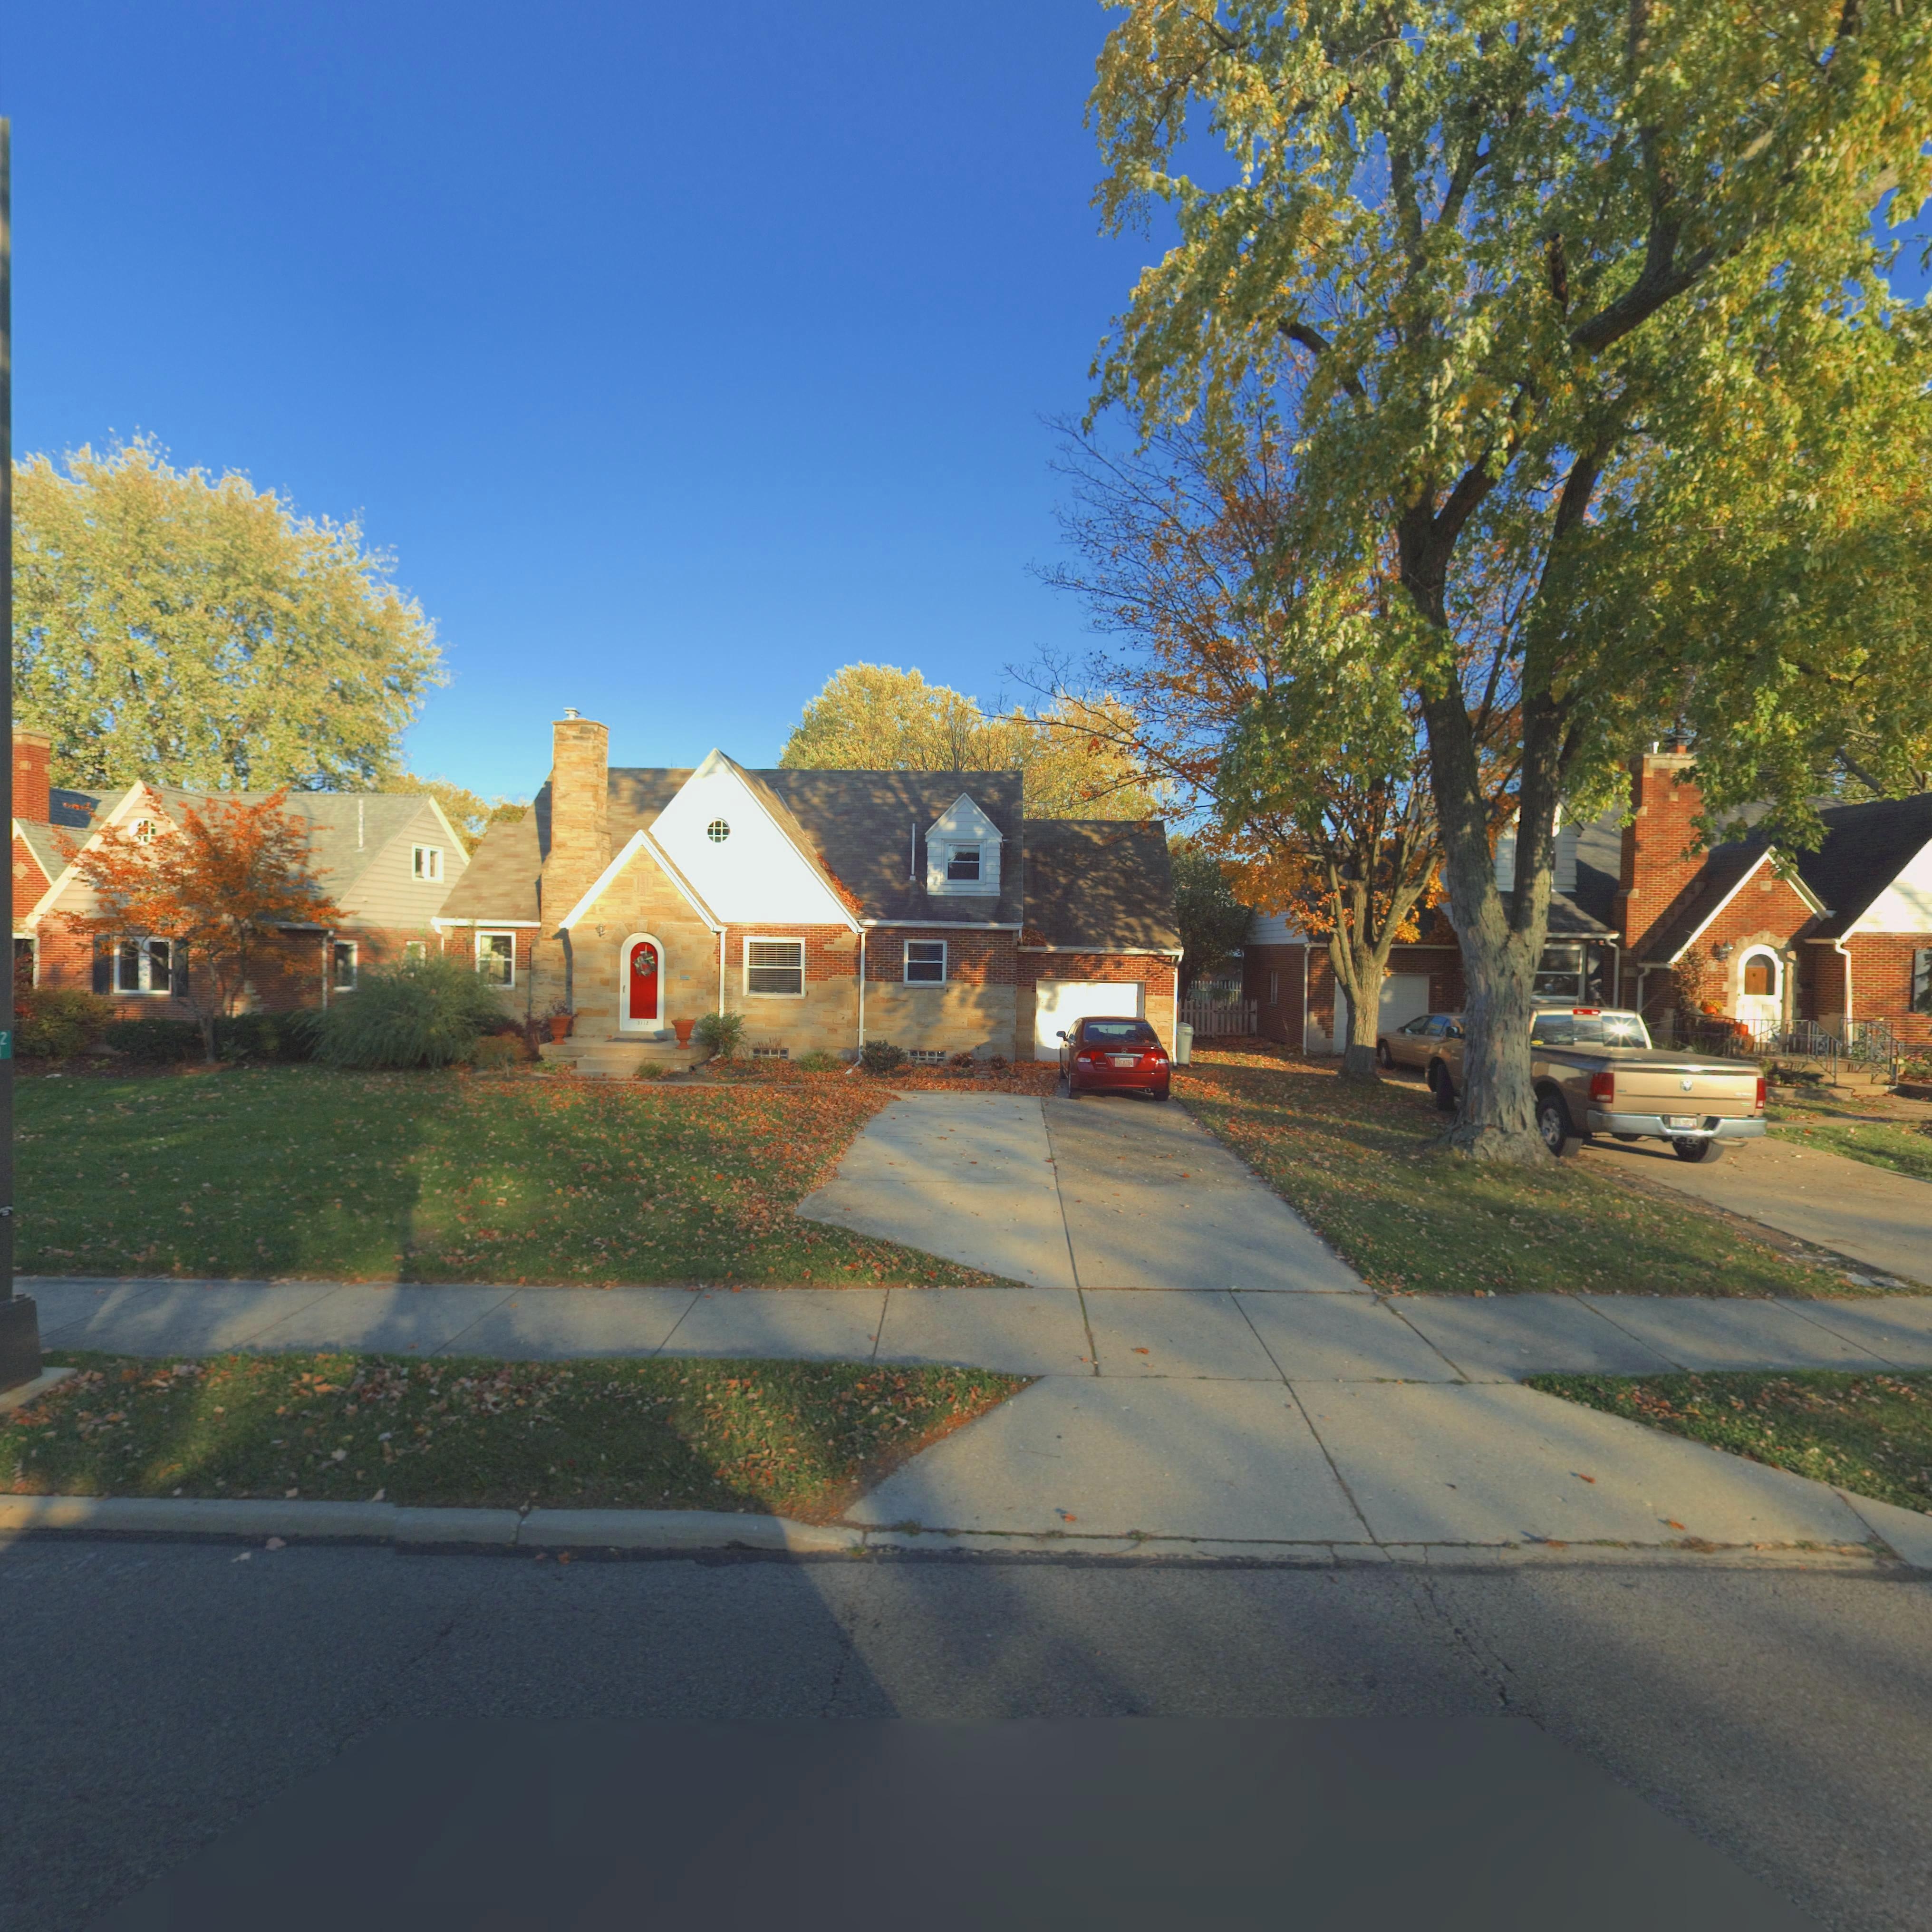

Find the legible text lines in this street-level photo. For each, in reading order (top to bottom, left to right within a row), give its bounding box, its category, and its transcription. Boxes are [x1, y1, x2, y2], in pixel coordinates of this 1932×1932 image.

[637, 1020, 649, 1026] StreetNumber: 3112